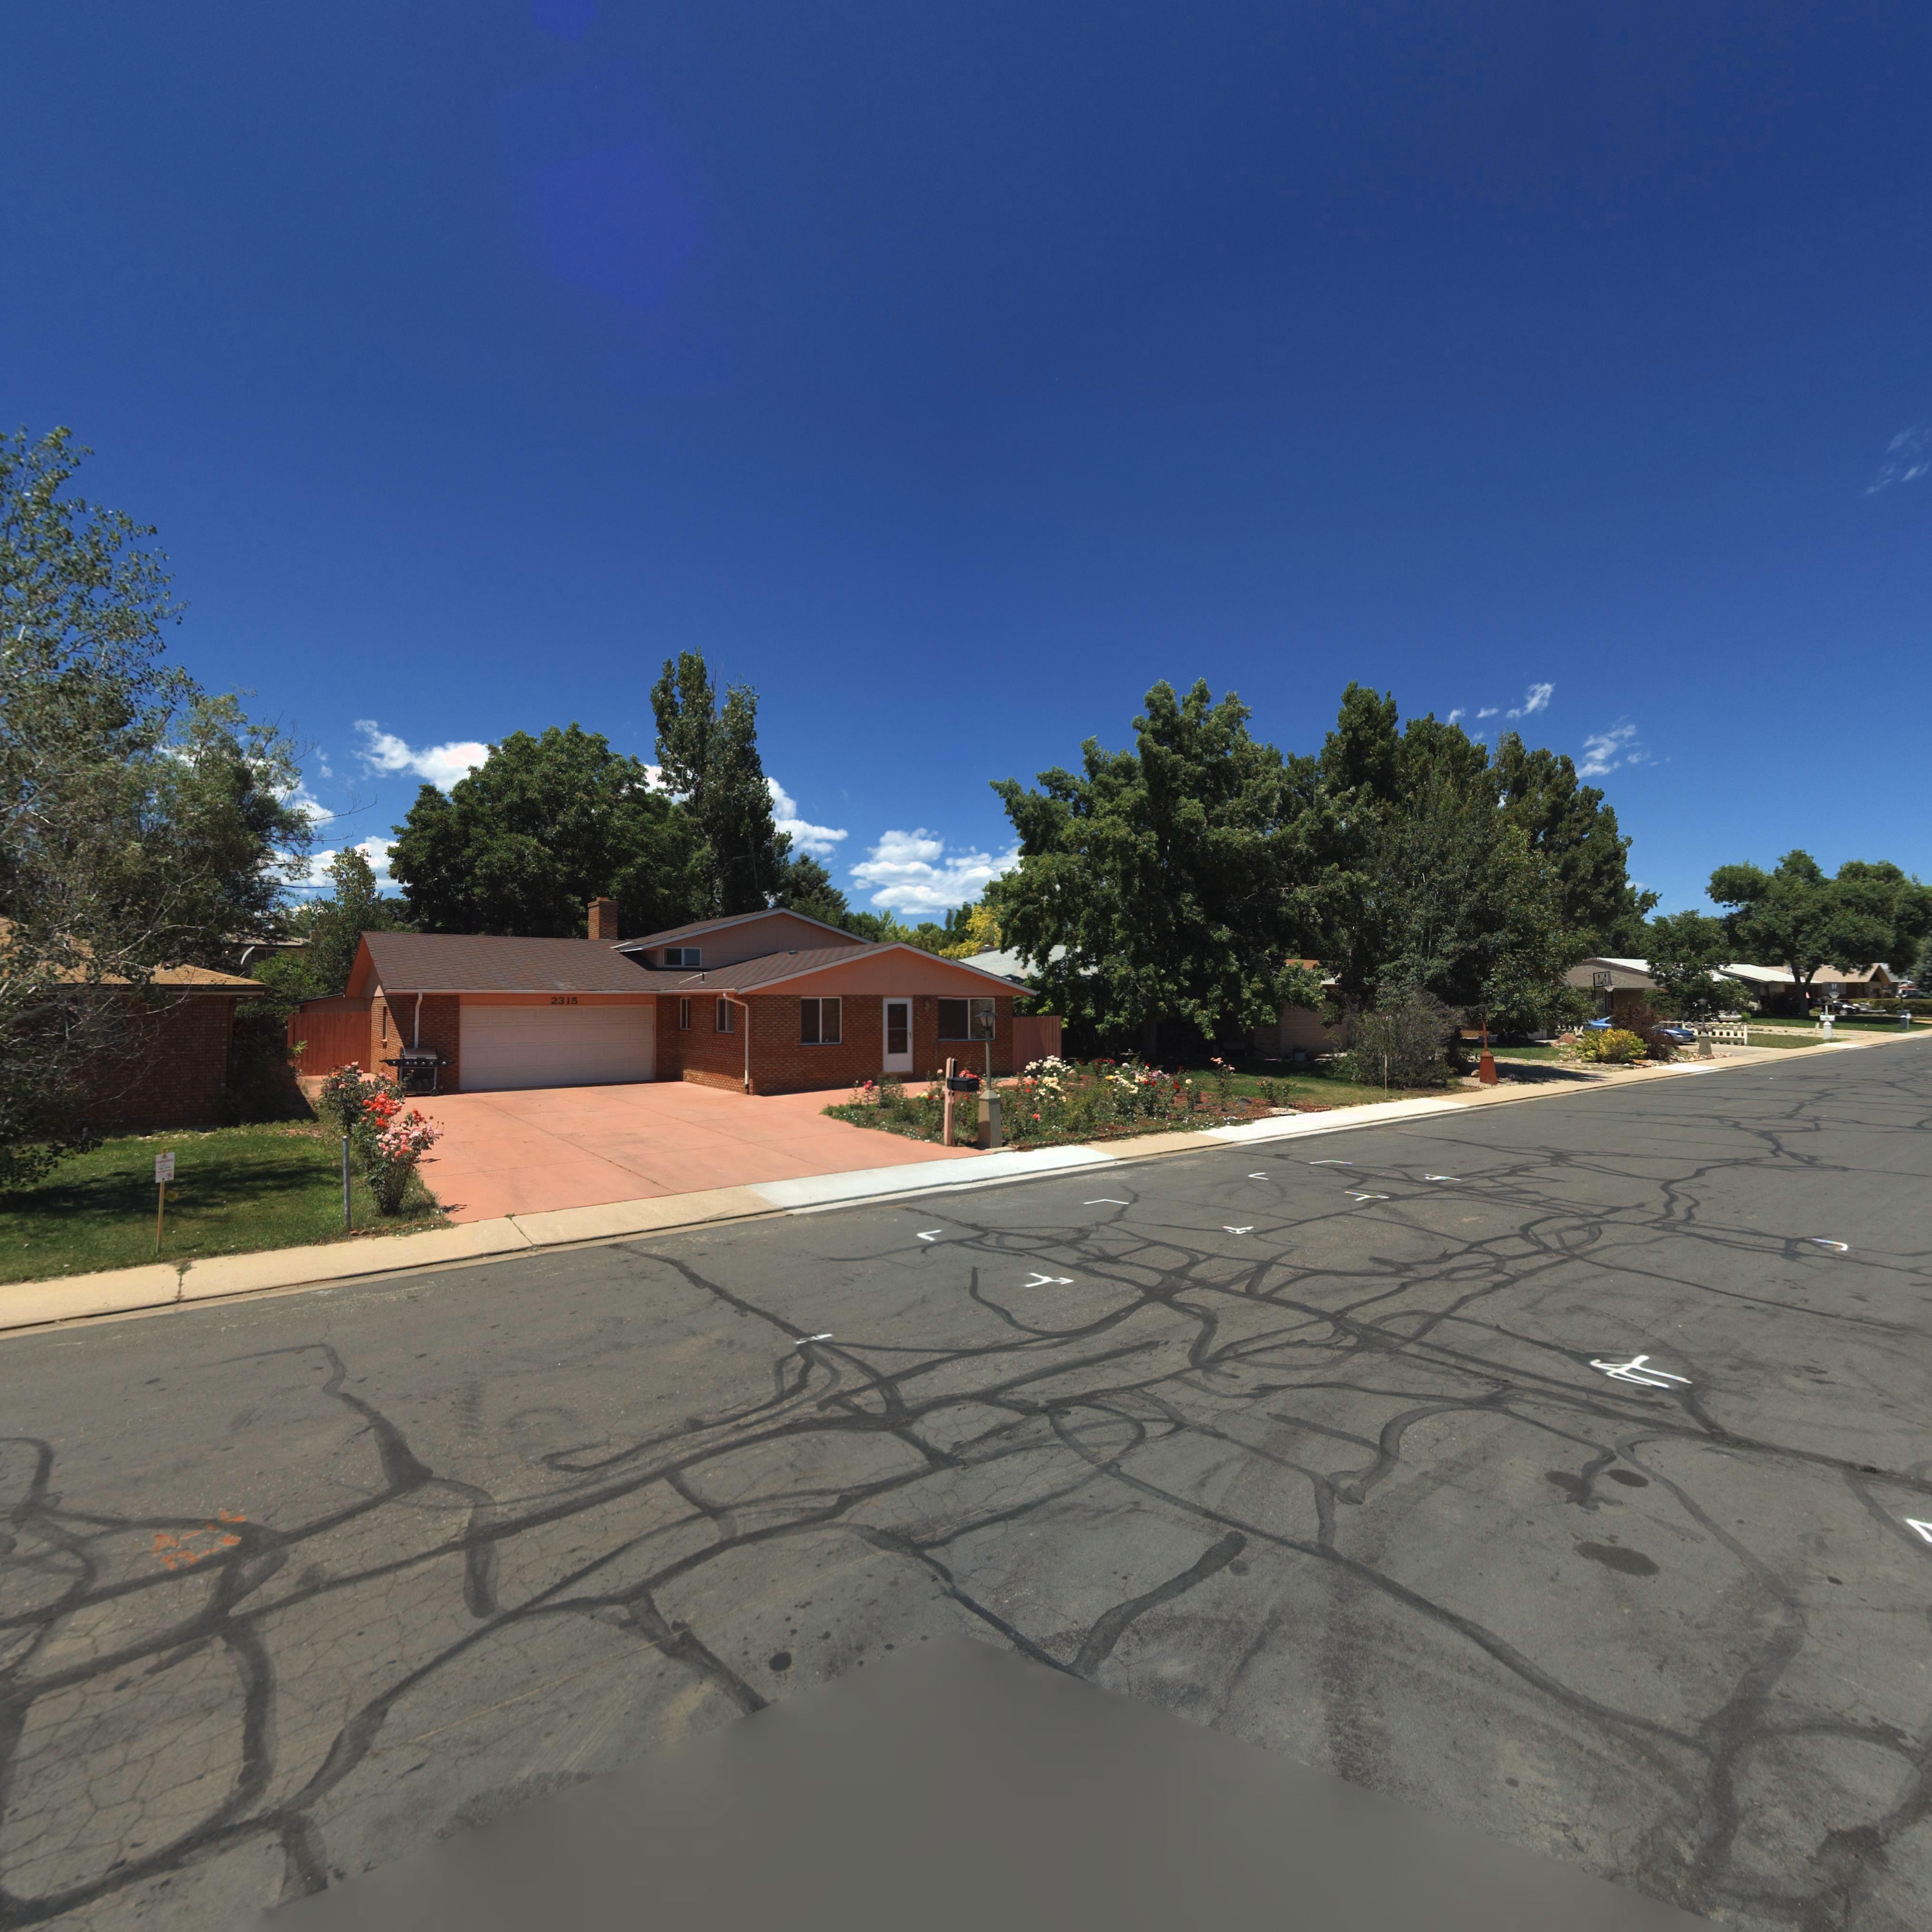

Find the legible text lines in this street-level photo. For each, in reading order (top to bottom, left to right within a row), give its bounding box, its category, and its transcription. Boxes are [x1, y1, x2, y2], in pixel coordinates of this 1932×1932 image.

[551, 996, 578, 1005] StreetNumber: 2315